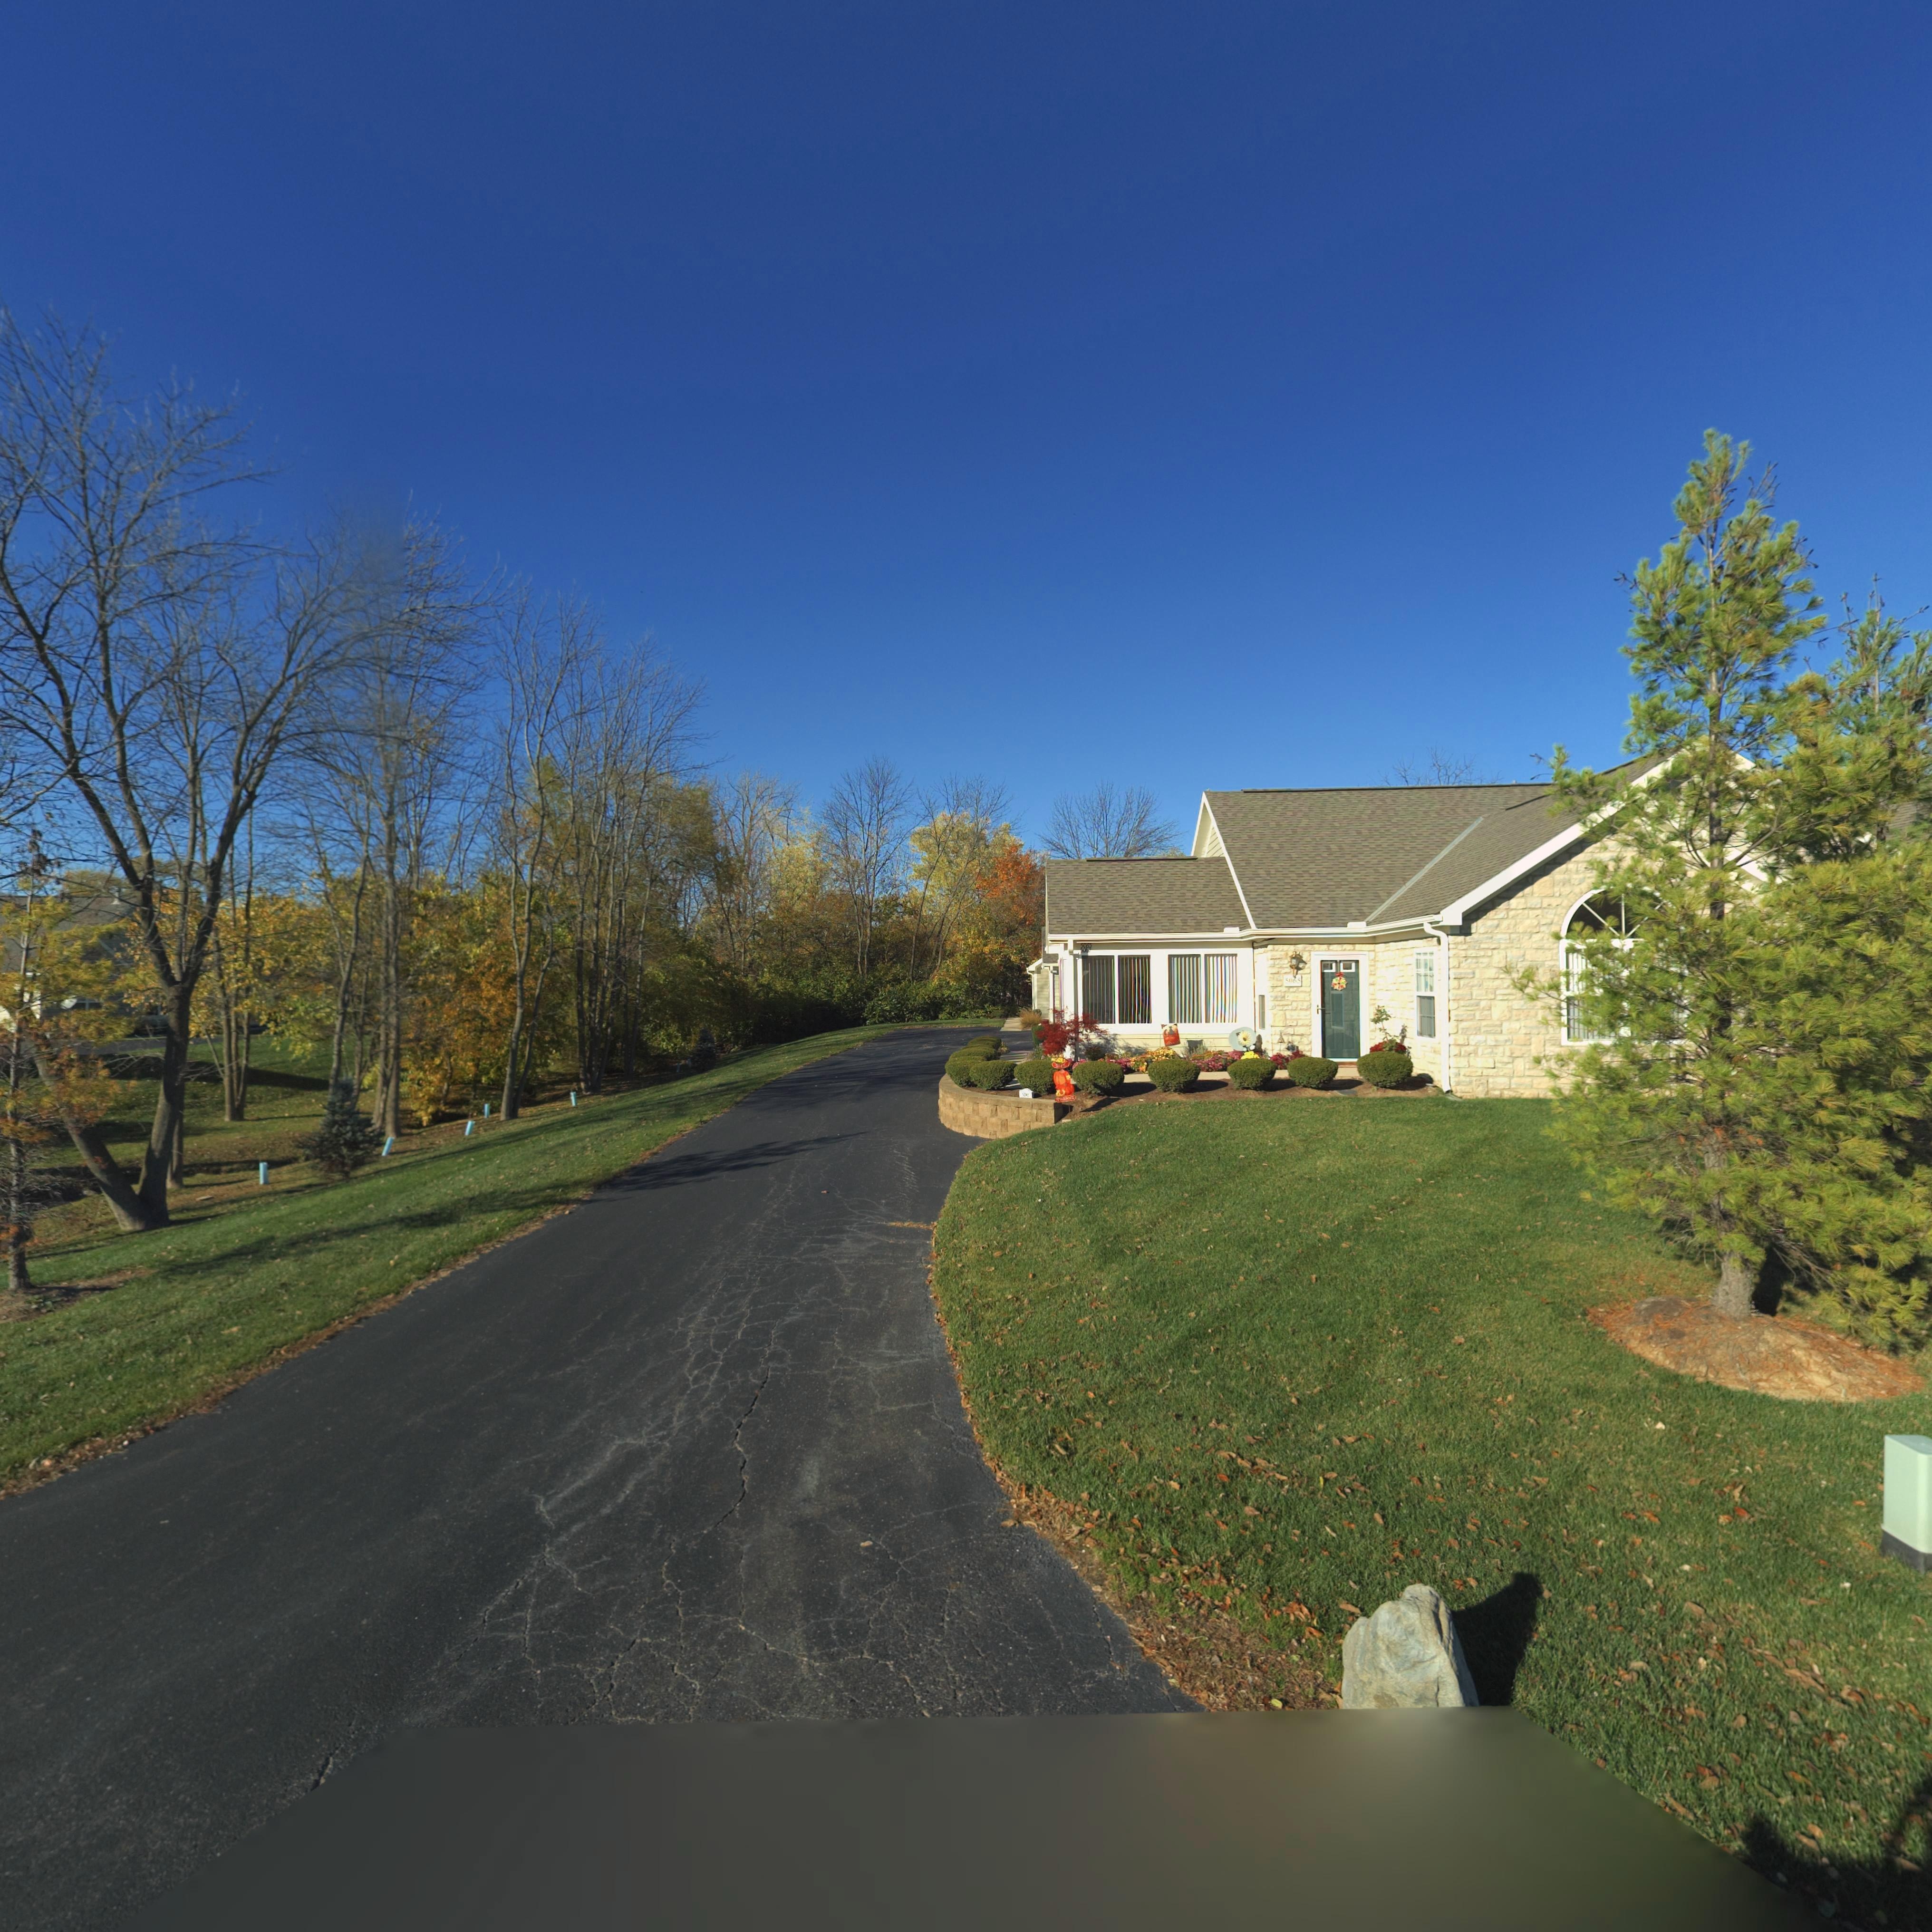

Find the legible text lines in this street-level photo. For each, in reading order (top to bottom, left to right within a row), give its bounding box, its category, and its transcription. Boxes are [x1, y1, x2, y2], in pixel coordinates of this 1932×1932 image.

[1284, 976, 1302, 985] StreetNumber: 5065